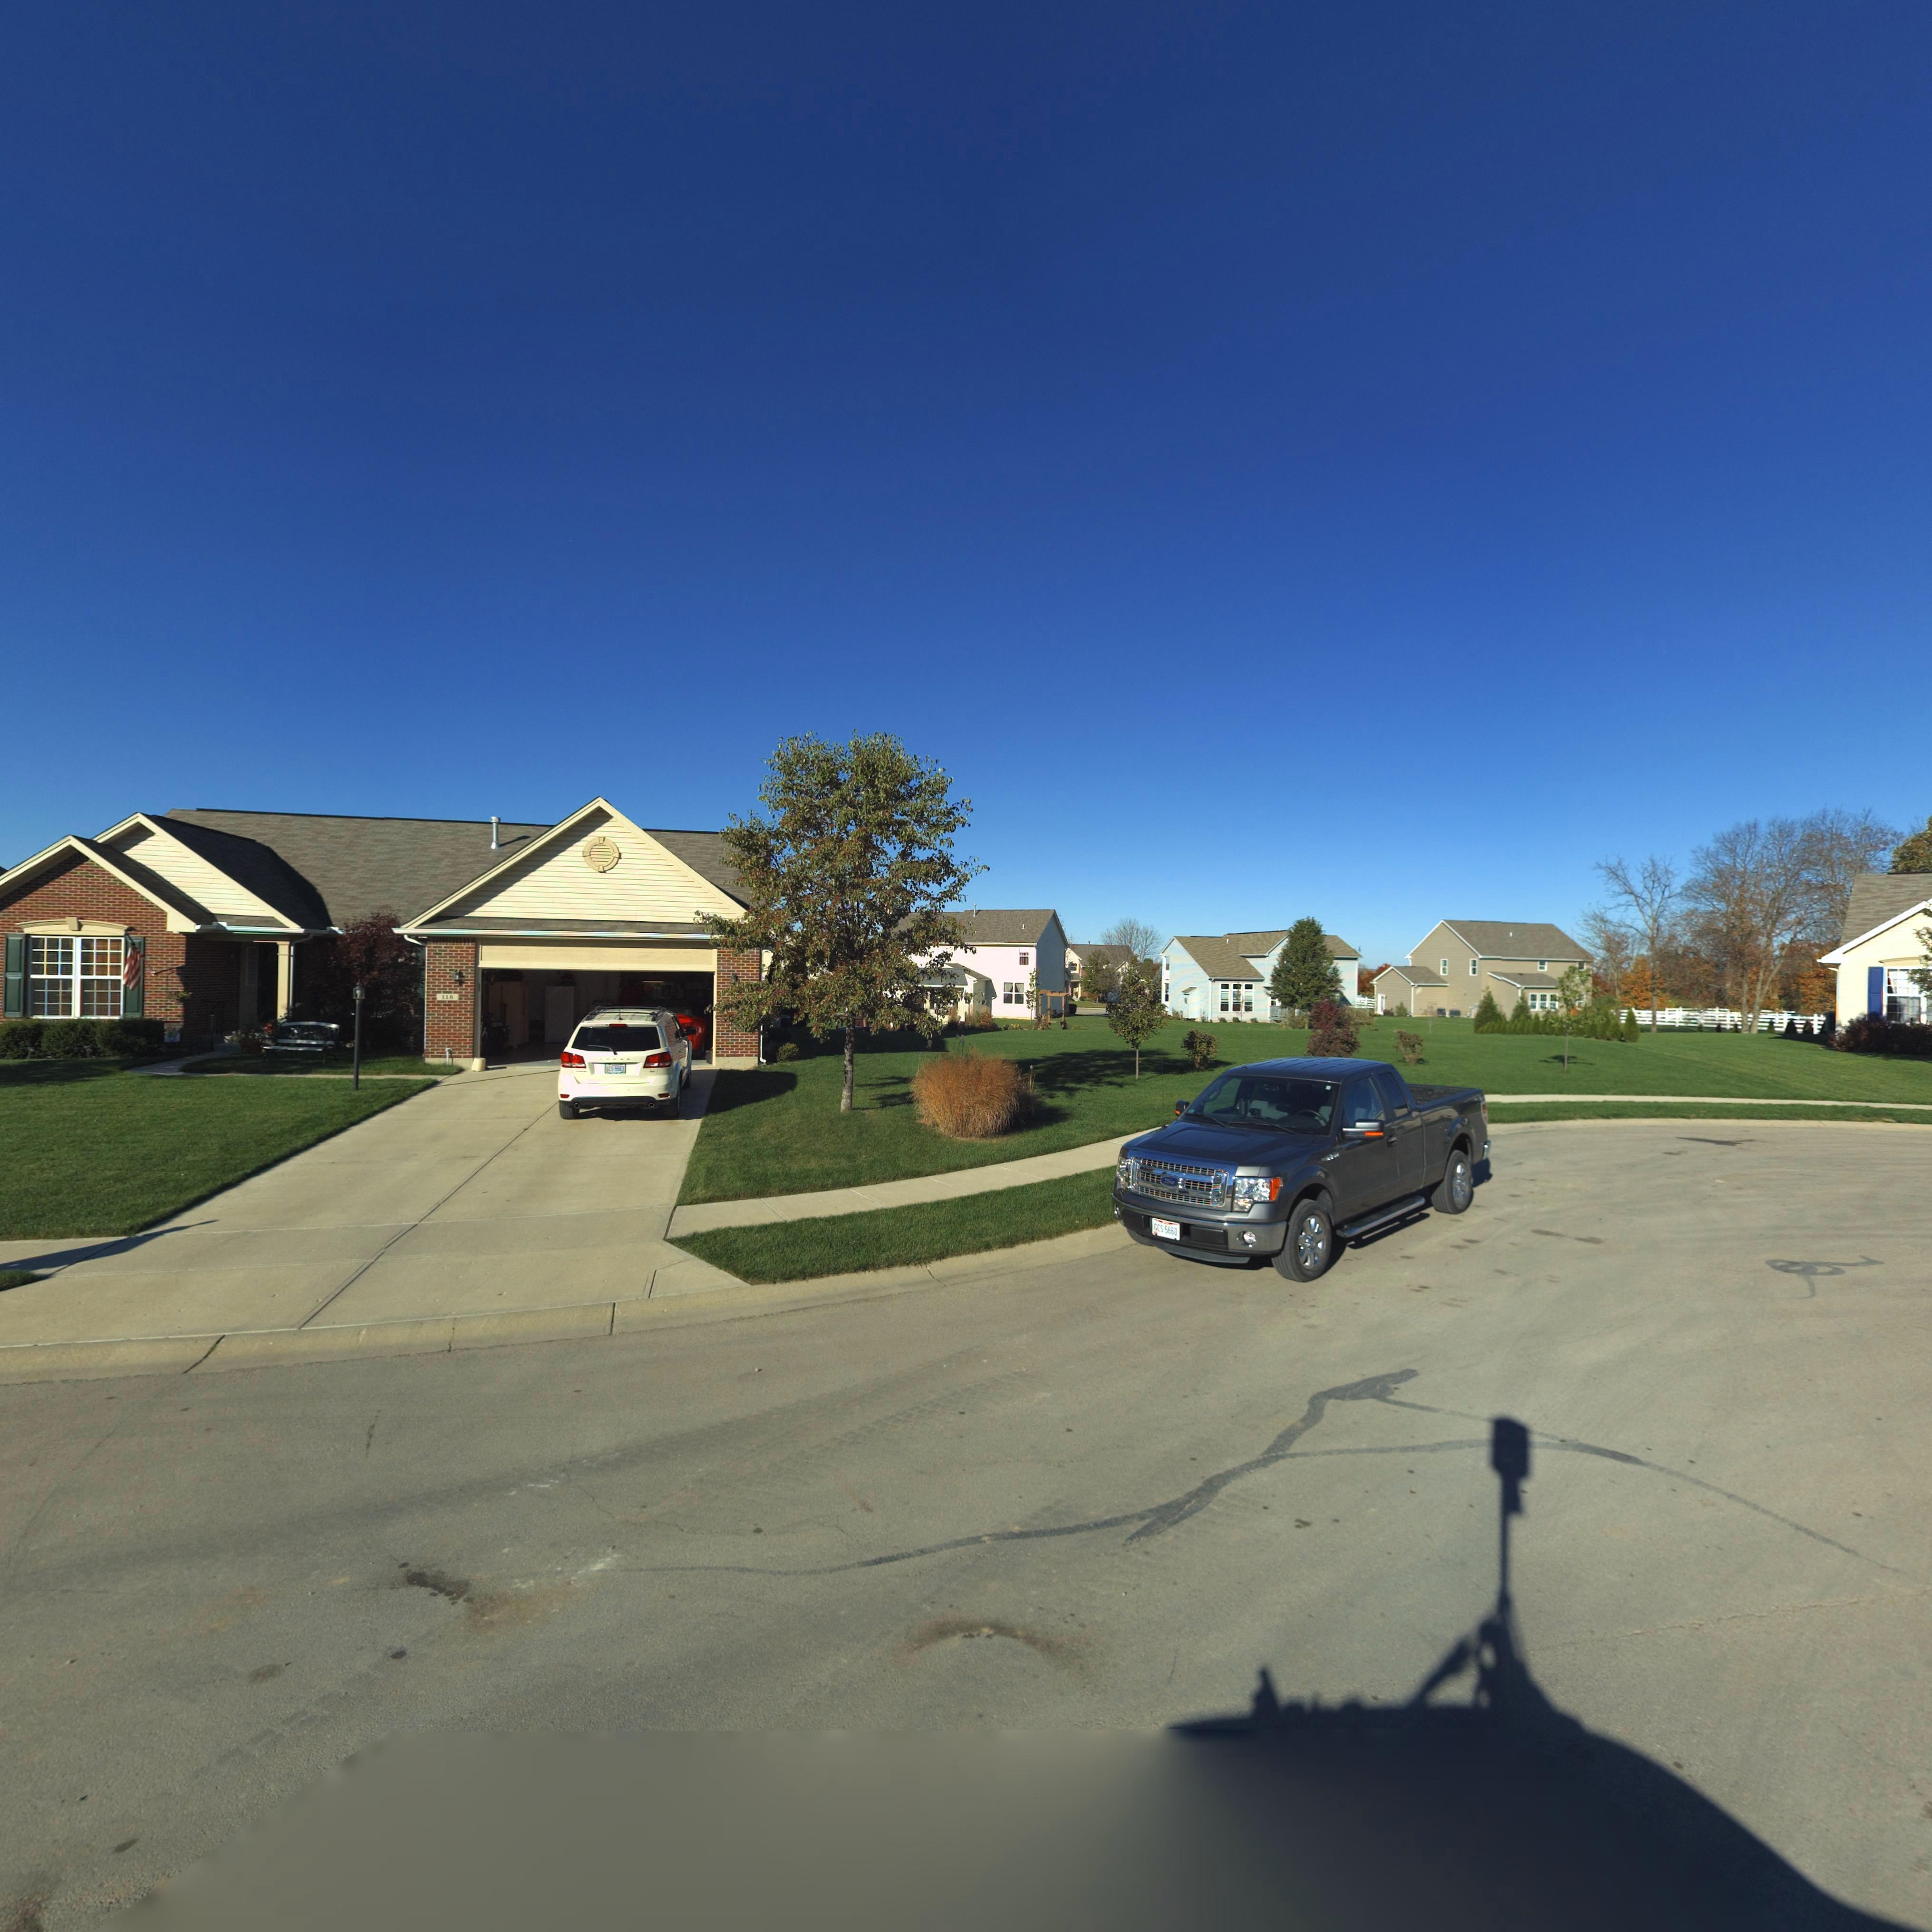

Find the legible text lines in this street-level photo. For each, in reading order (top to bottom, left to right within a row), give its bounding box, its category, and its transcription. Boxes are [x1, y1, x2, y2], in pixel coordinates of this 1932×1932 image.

[441, 994, 454, 1000] StreetNumber: 118
[605, 1065, 624, 1072] None: GCS ****
[1154, 1223, 1179, 1237] None: GCS 5660